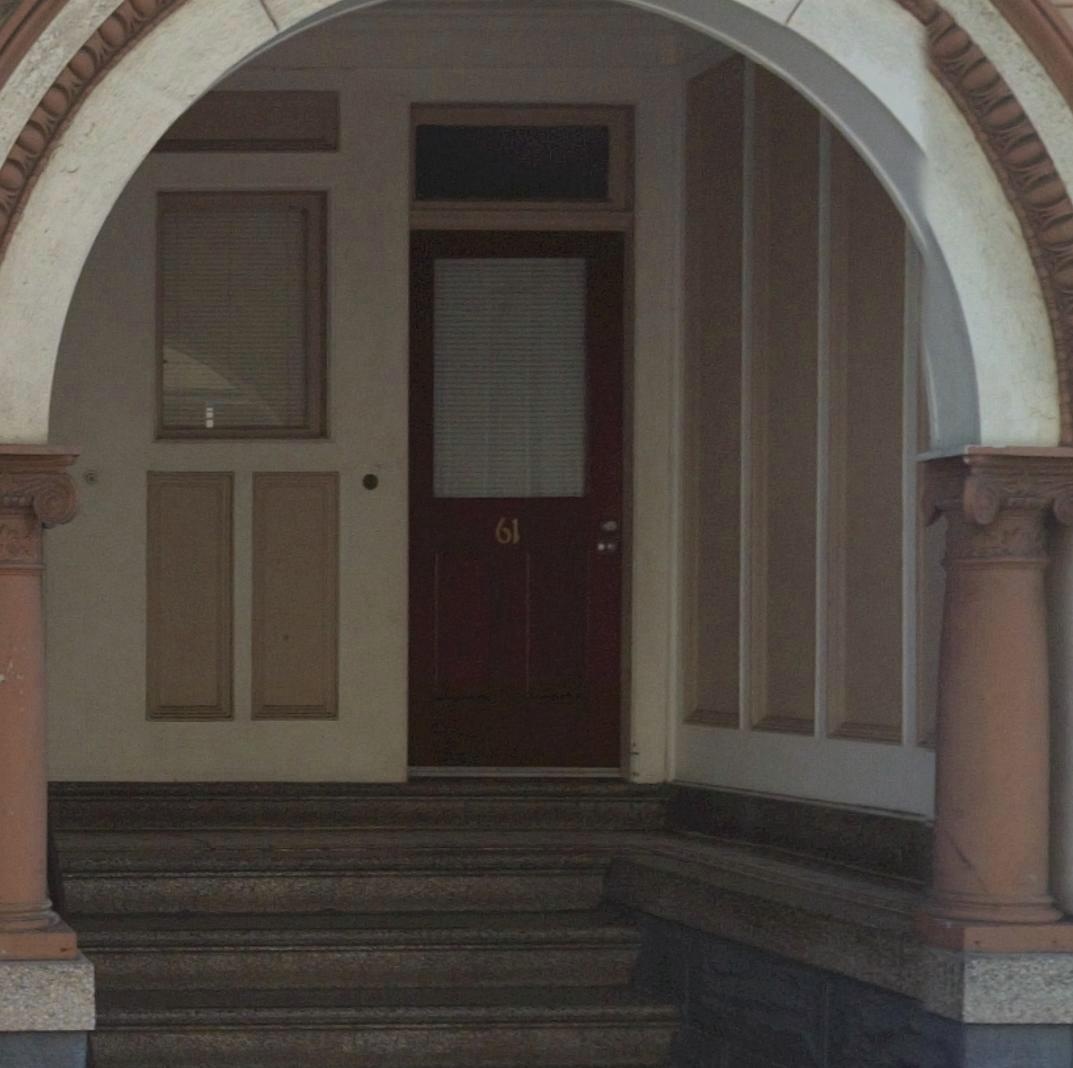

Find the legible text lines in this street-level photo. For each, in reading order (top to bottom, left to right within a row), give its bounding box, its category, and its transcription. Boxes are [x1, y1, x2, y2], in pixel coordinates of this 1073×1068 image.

[491, 511, 524, 551] StreetNumber: 61